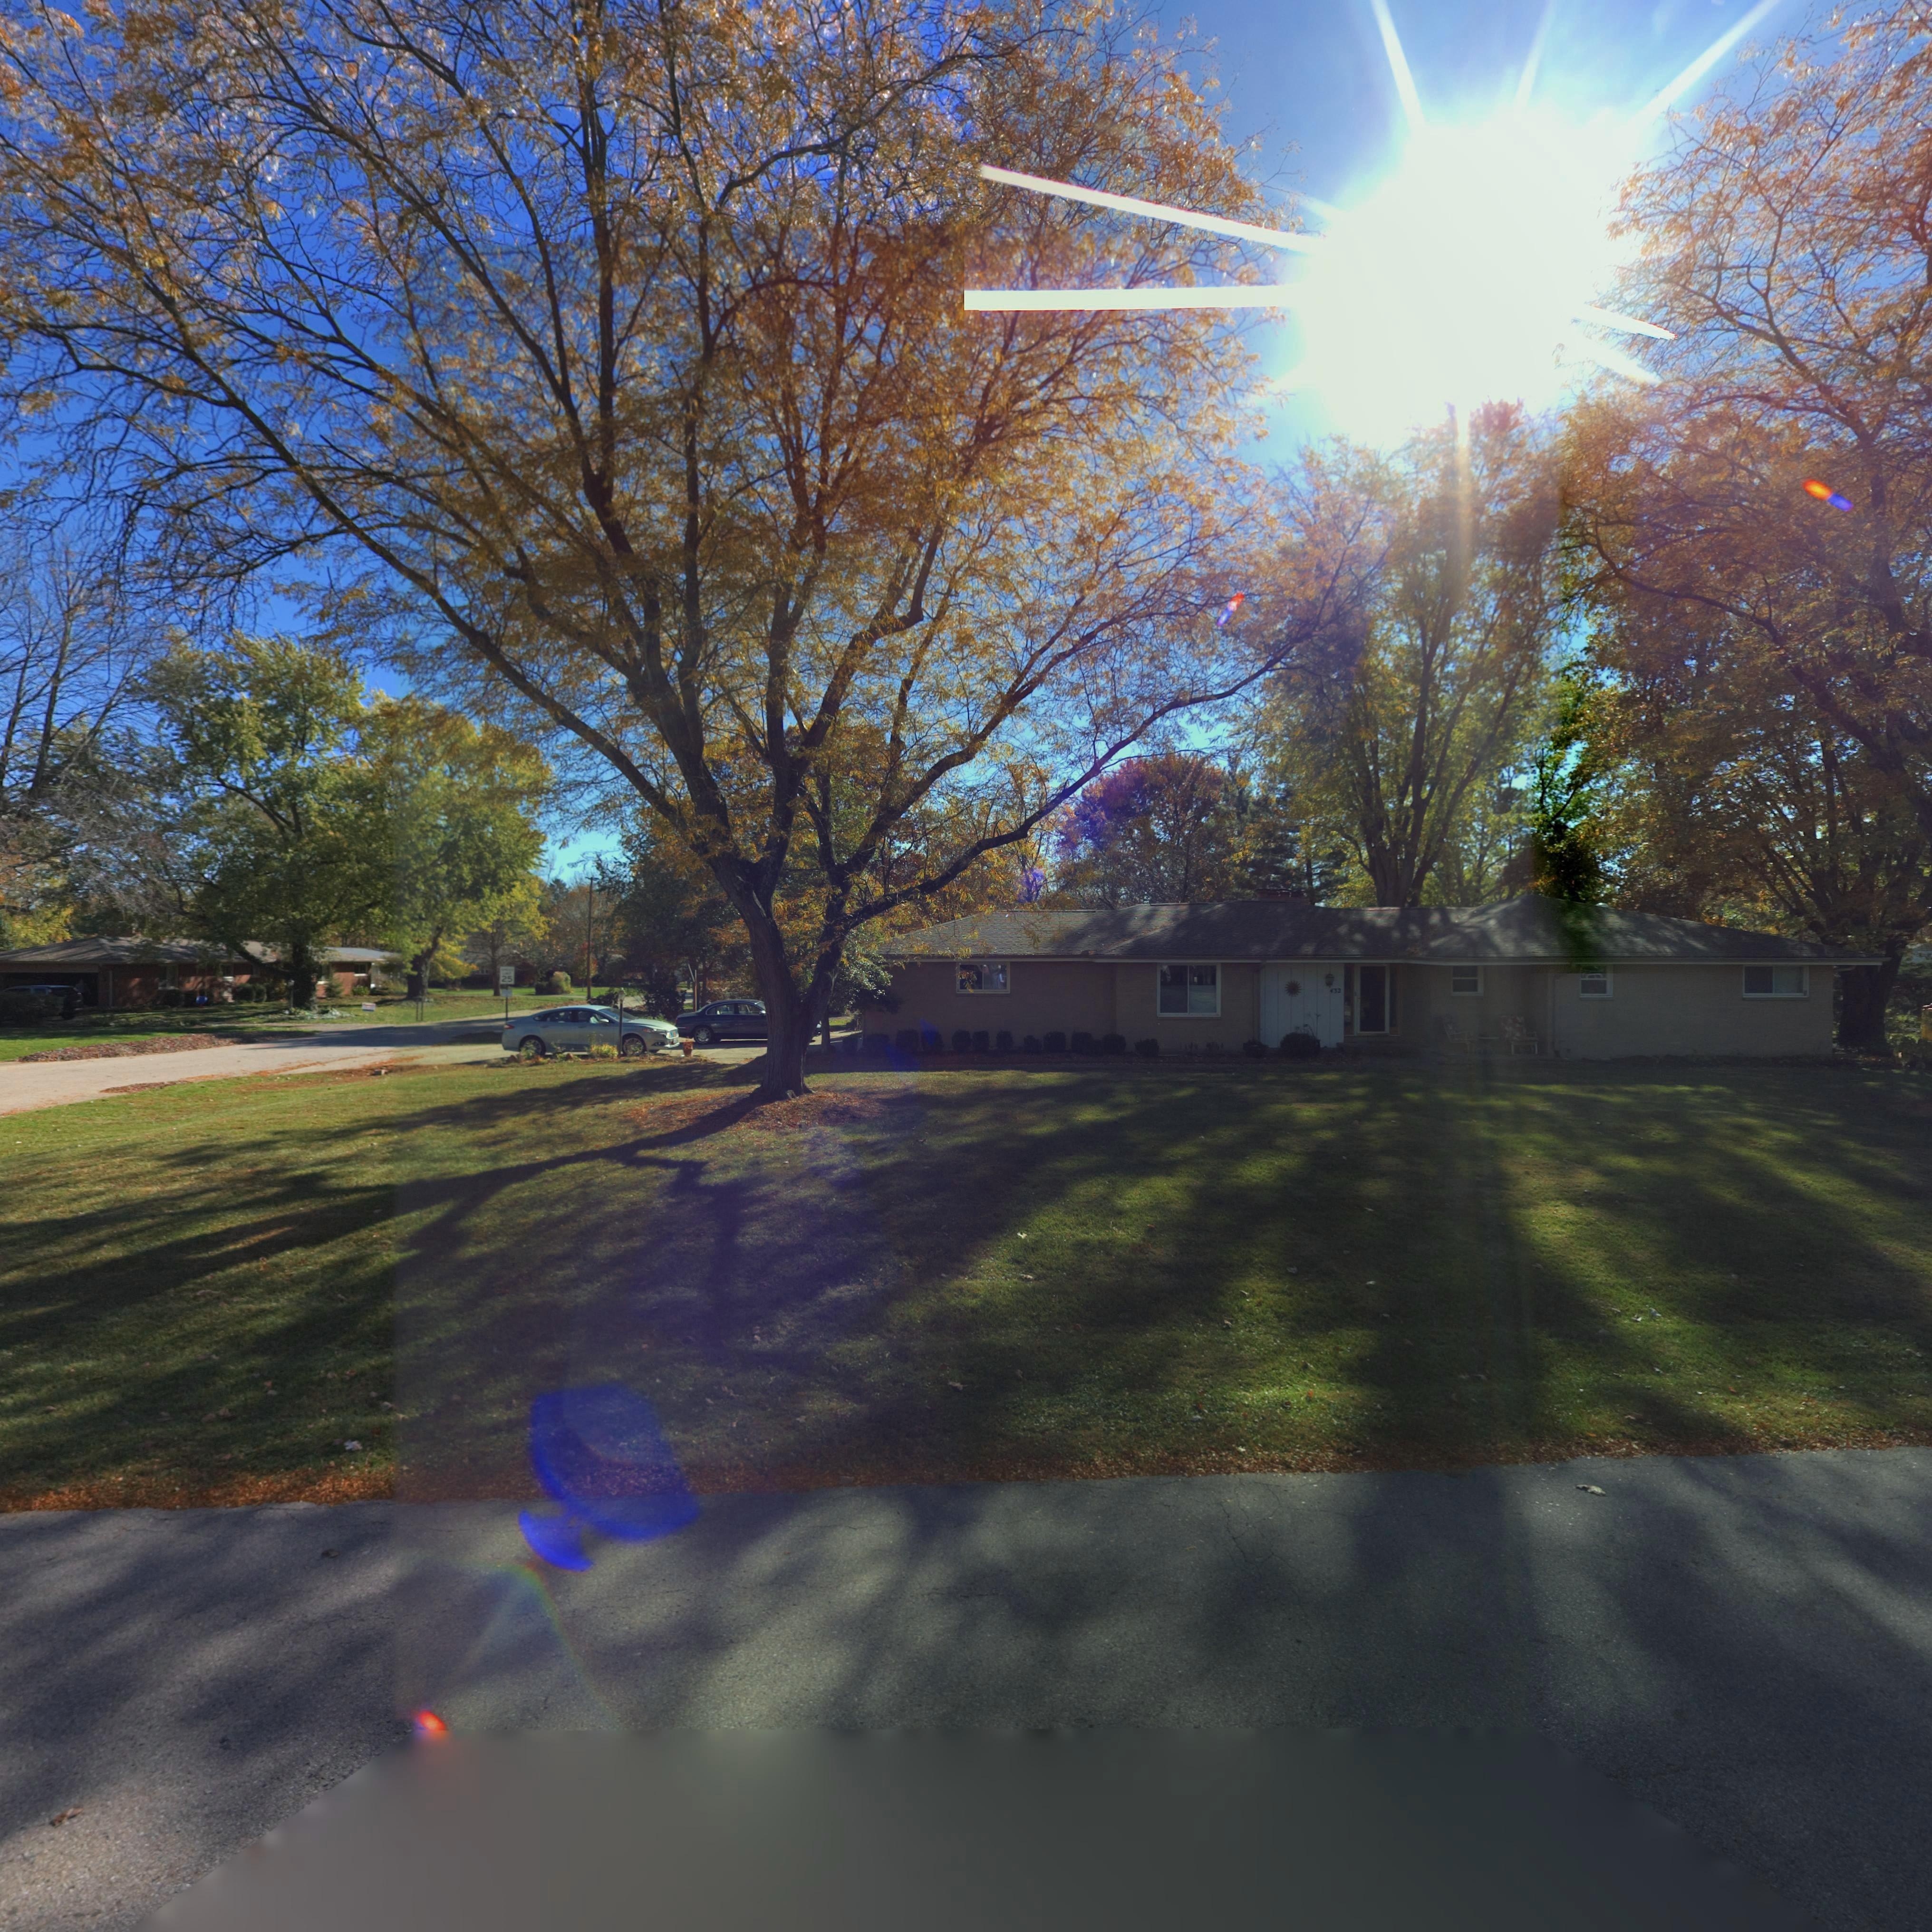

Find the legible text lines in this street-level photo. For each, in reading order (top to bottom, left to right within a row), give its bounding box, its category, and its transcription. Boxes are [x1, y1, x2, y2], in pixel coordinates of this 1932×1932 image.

[501, 975, 513, 983] None: 25
[1328, 988, 1342, 994] StreetNumber: 432